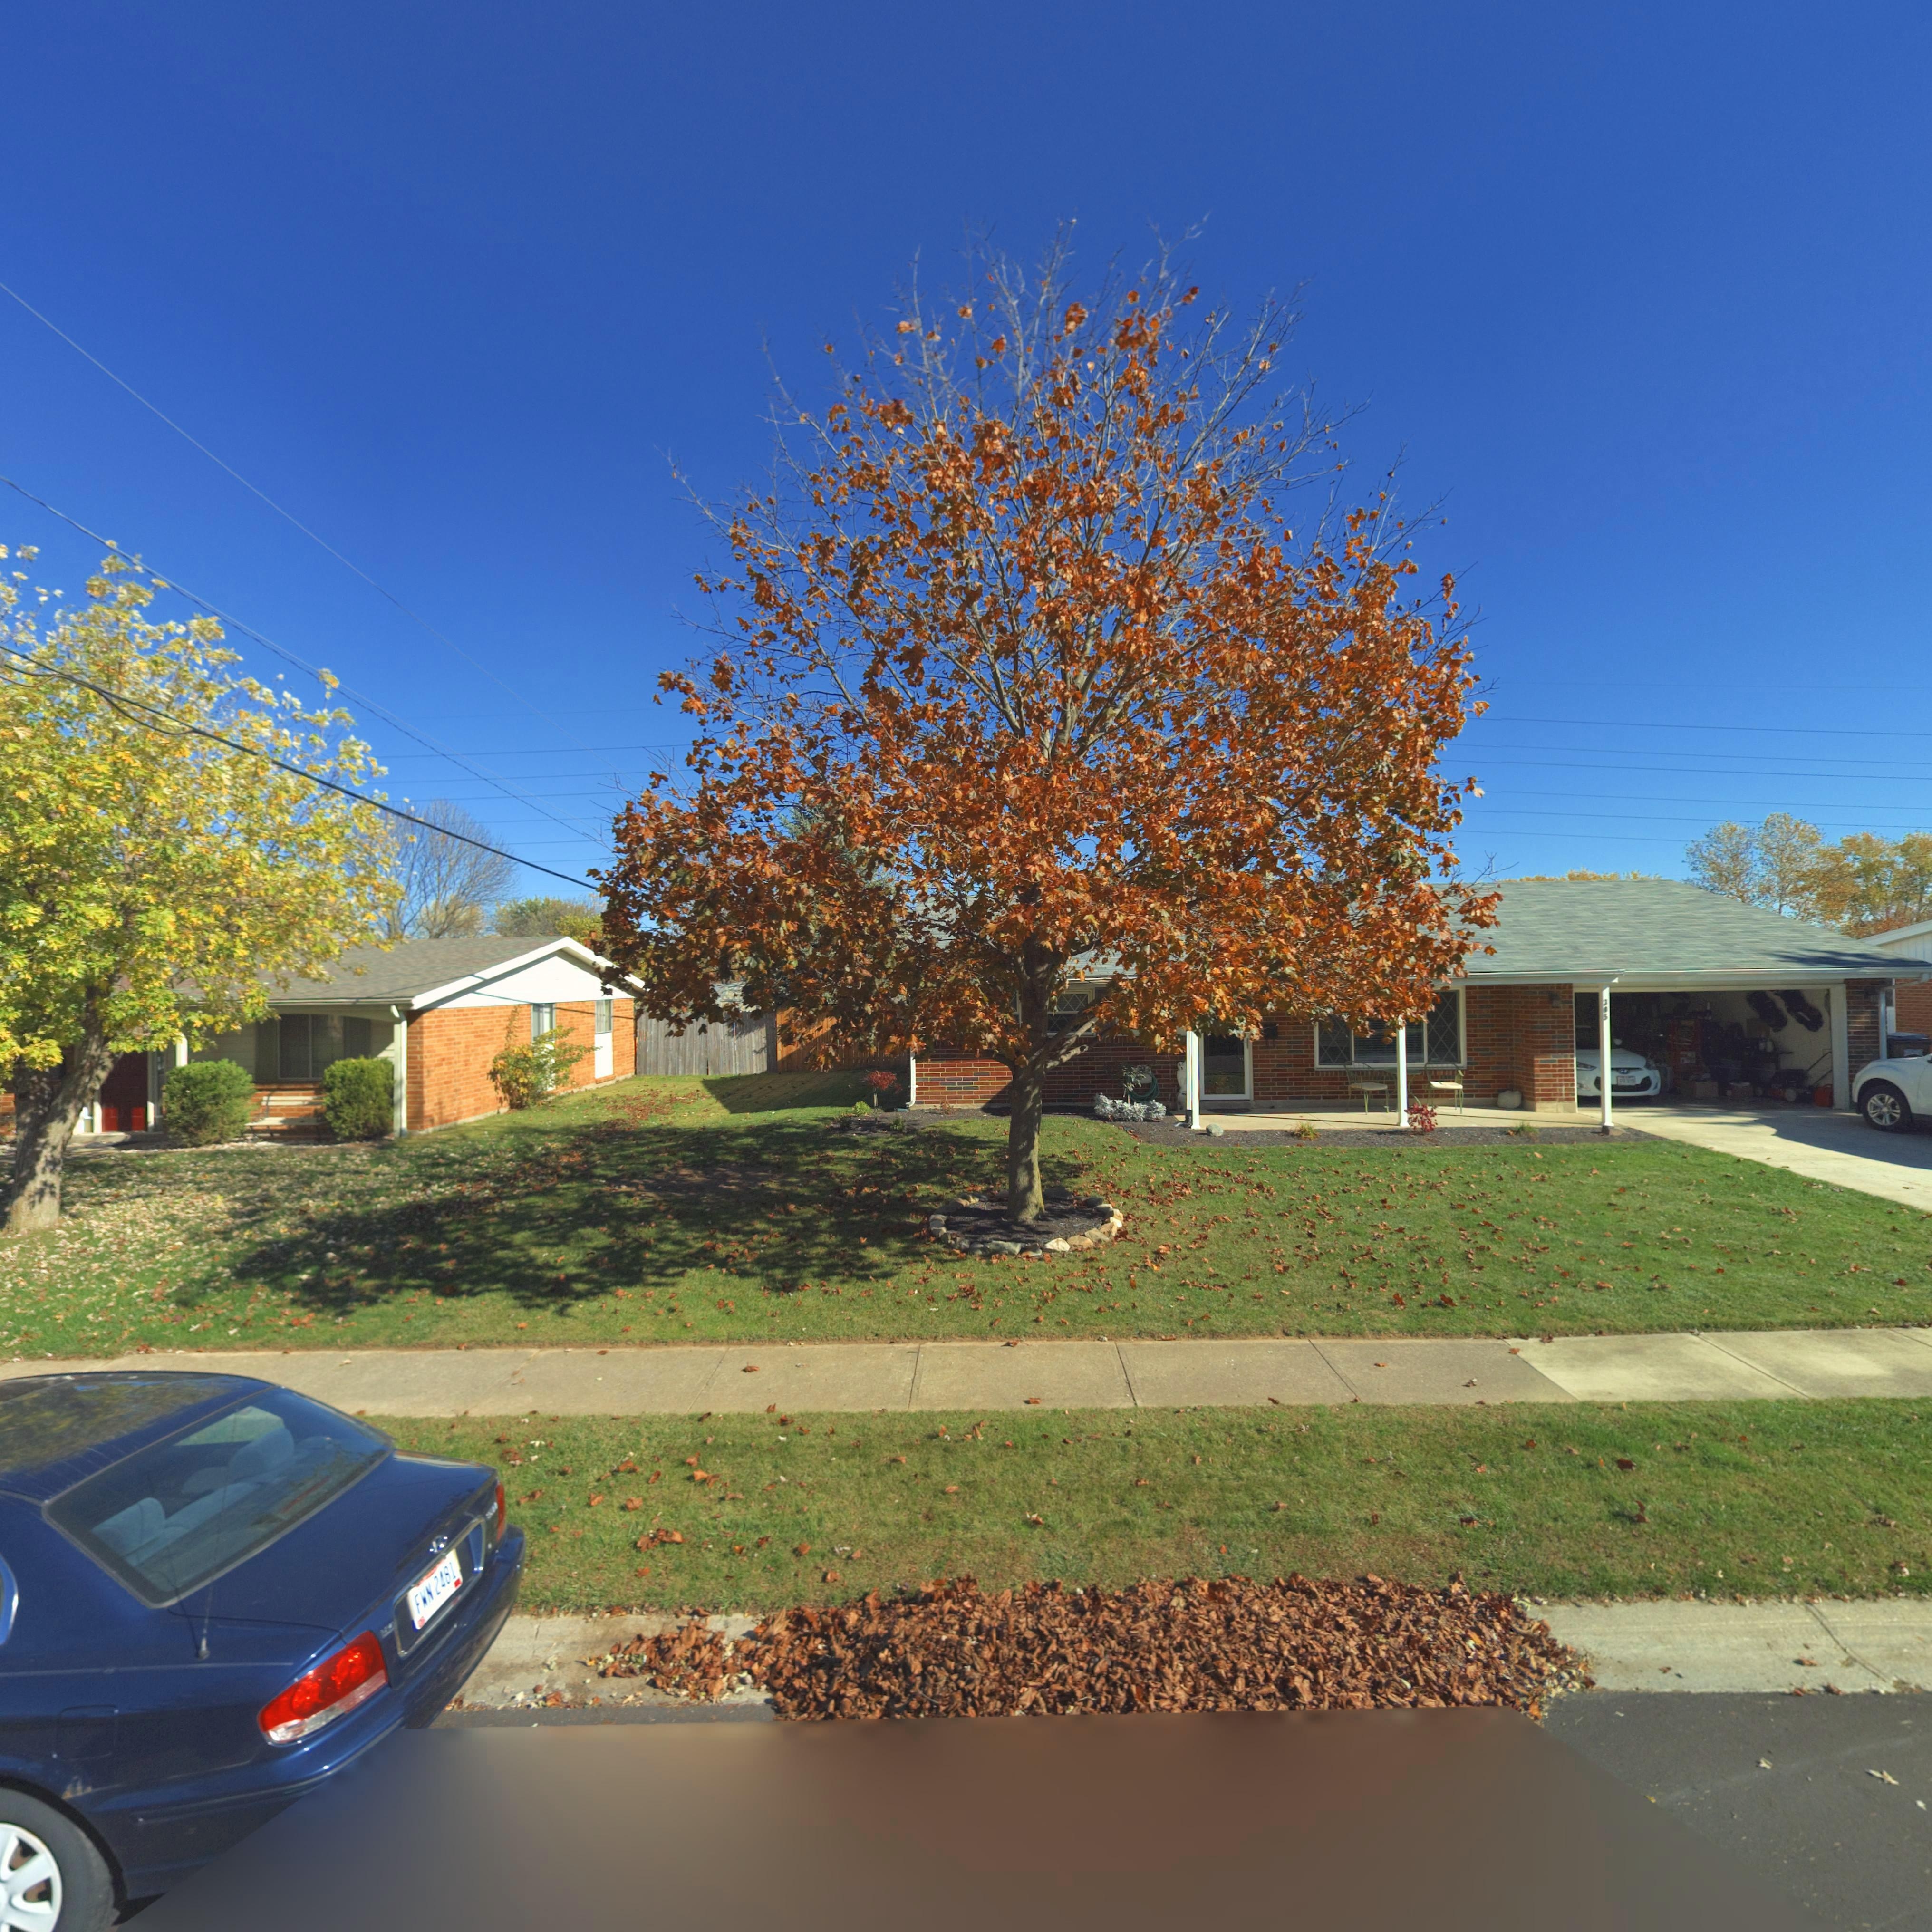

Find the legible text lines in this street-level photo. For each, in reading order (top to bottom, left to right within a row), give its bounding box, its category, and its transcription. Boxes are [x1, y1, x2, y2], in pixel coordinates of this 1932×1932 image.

[1602, 998, 1608, 1020] StreetNumber: 305